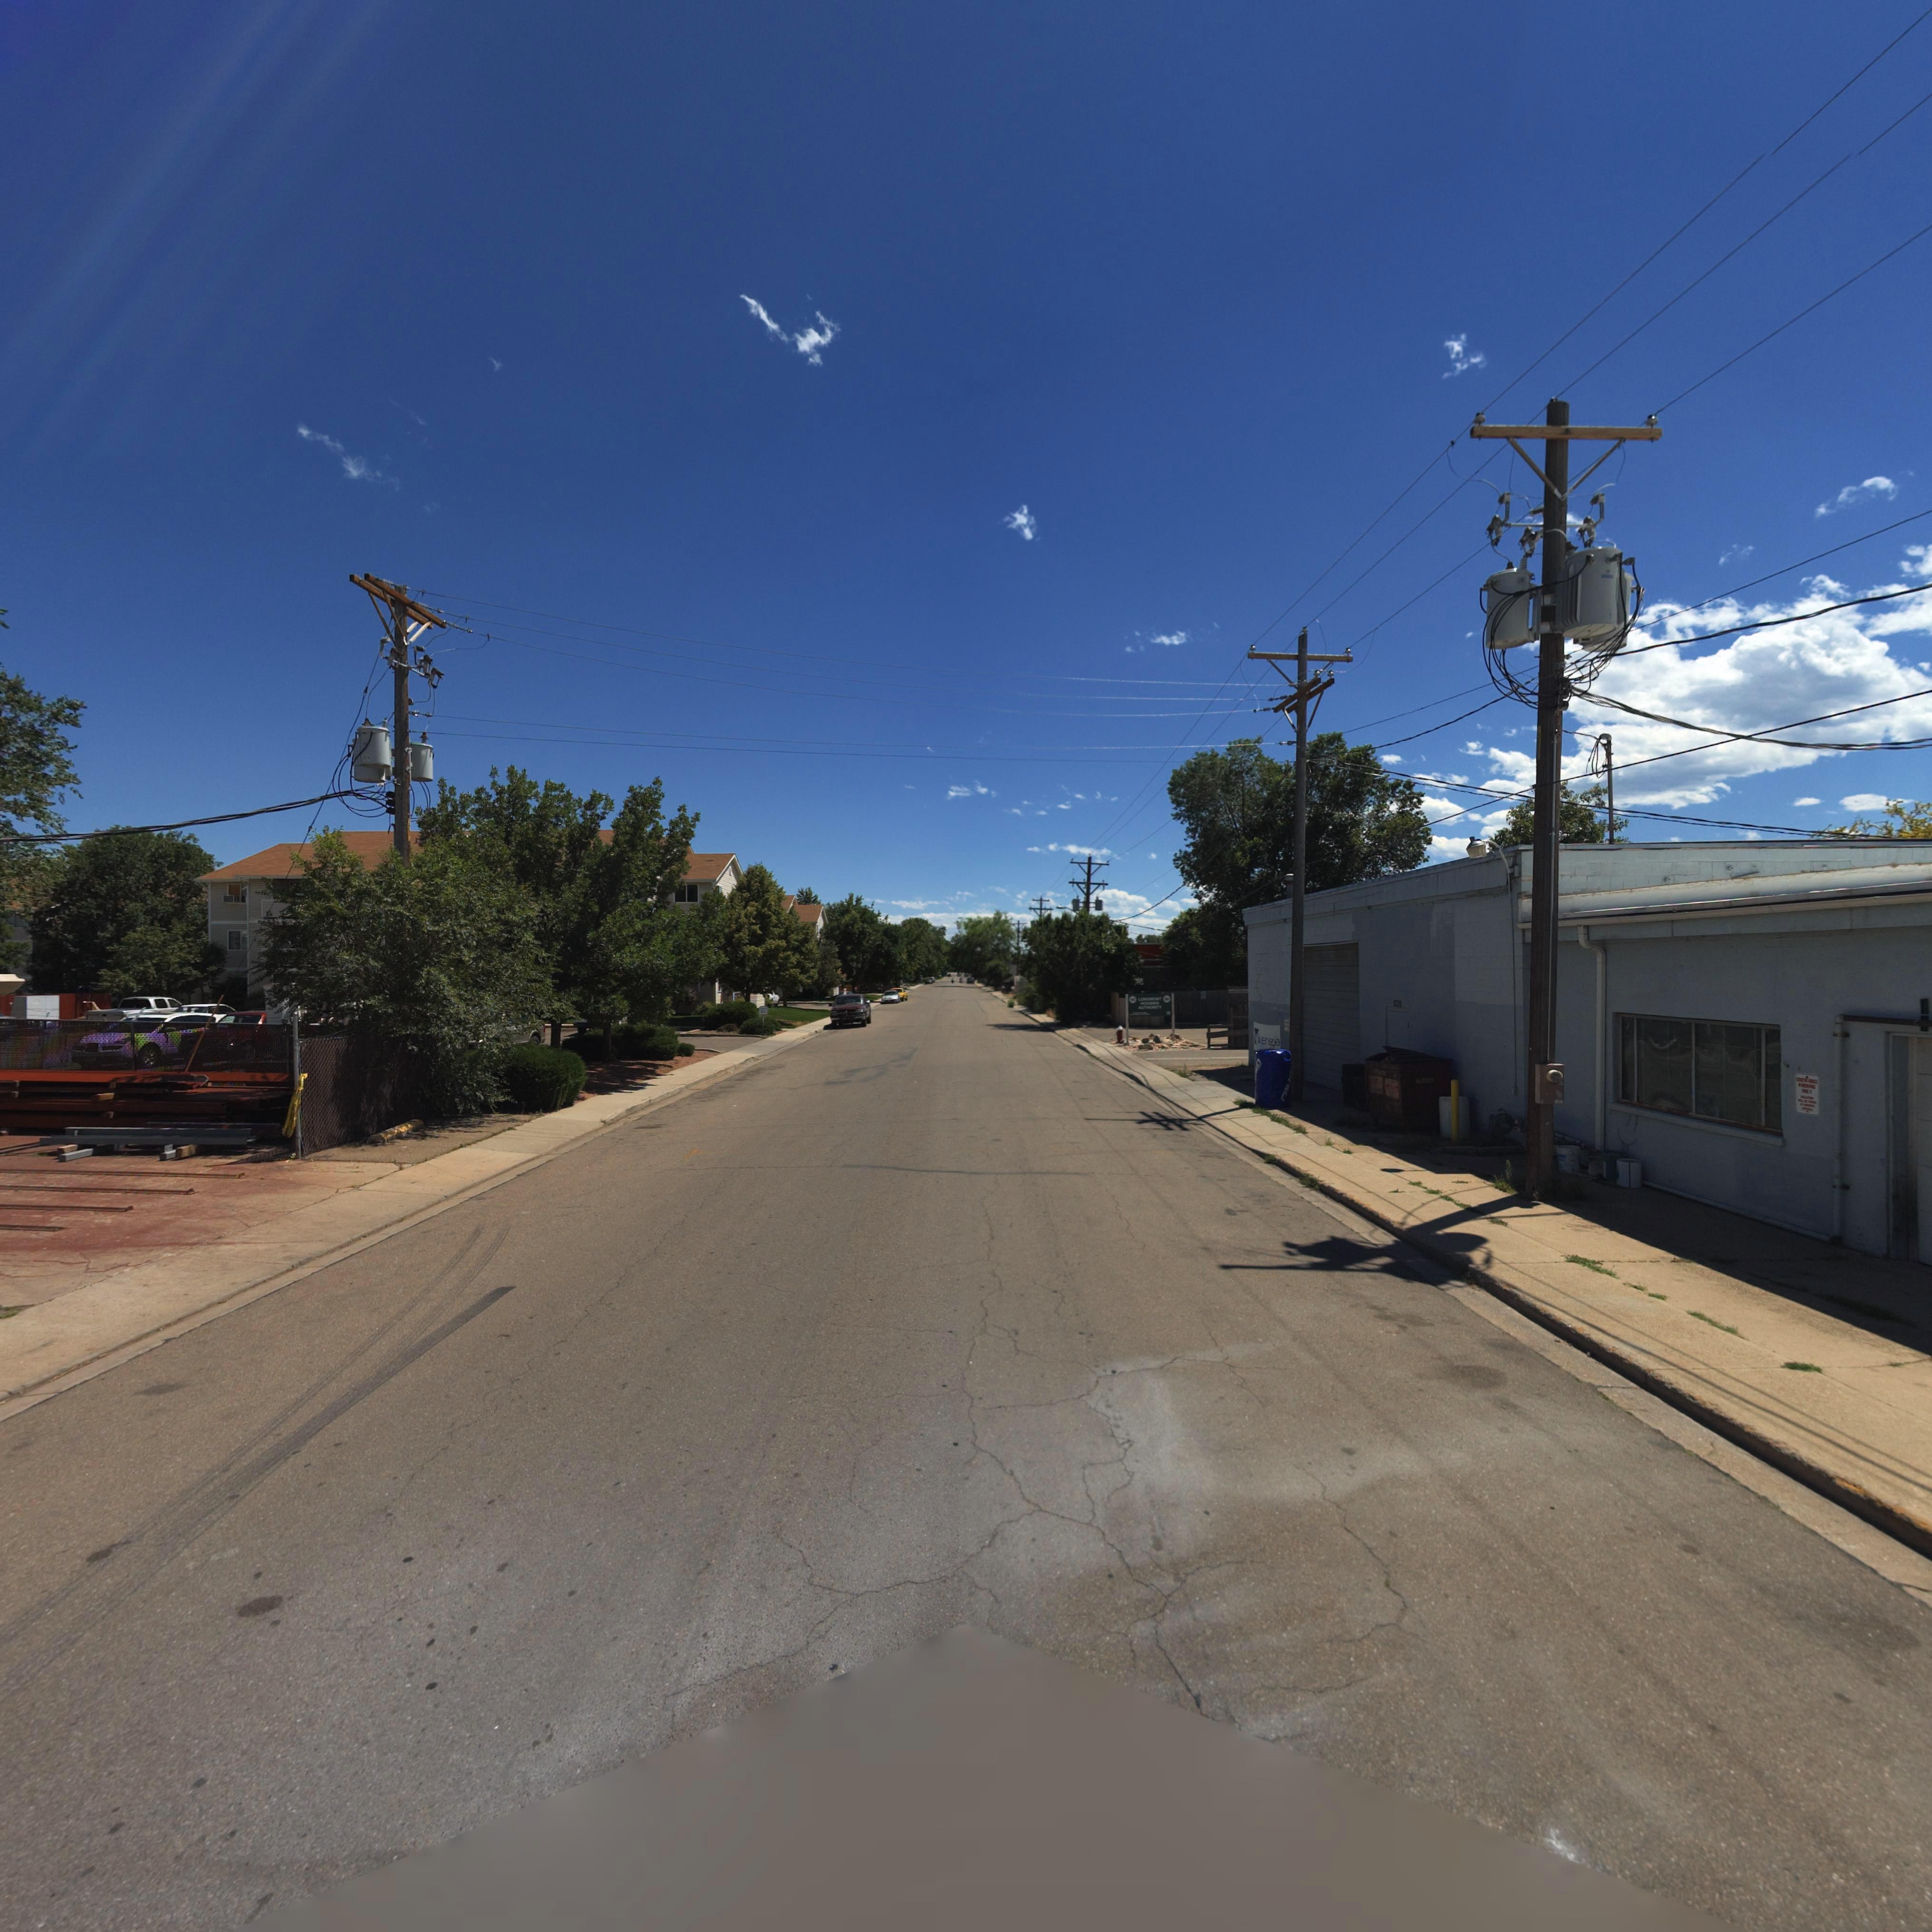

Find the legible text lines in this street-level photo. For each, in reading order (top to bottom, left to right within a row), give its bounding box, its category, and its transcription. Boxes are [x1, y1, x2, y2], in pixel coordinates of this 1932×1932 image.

[1138, 996, 1162, 1001] BusinessName: LO***O*T
[1392, 999, 1402, 1007] StreetNumber: 1235